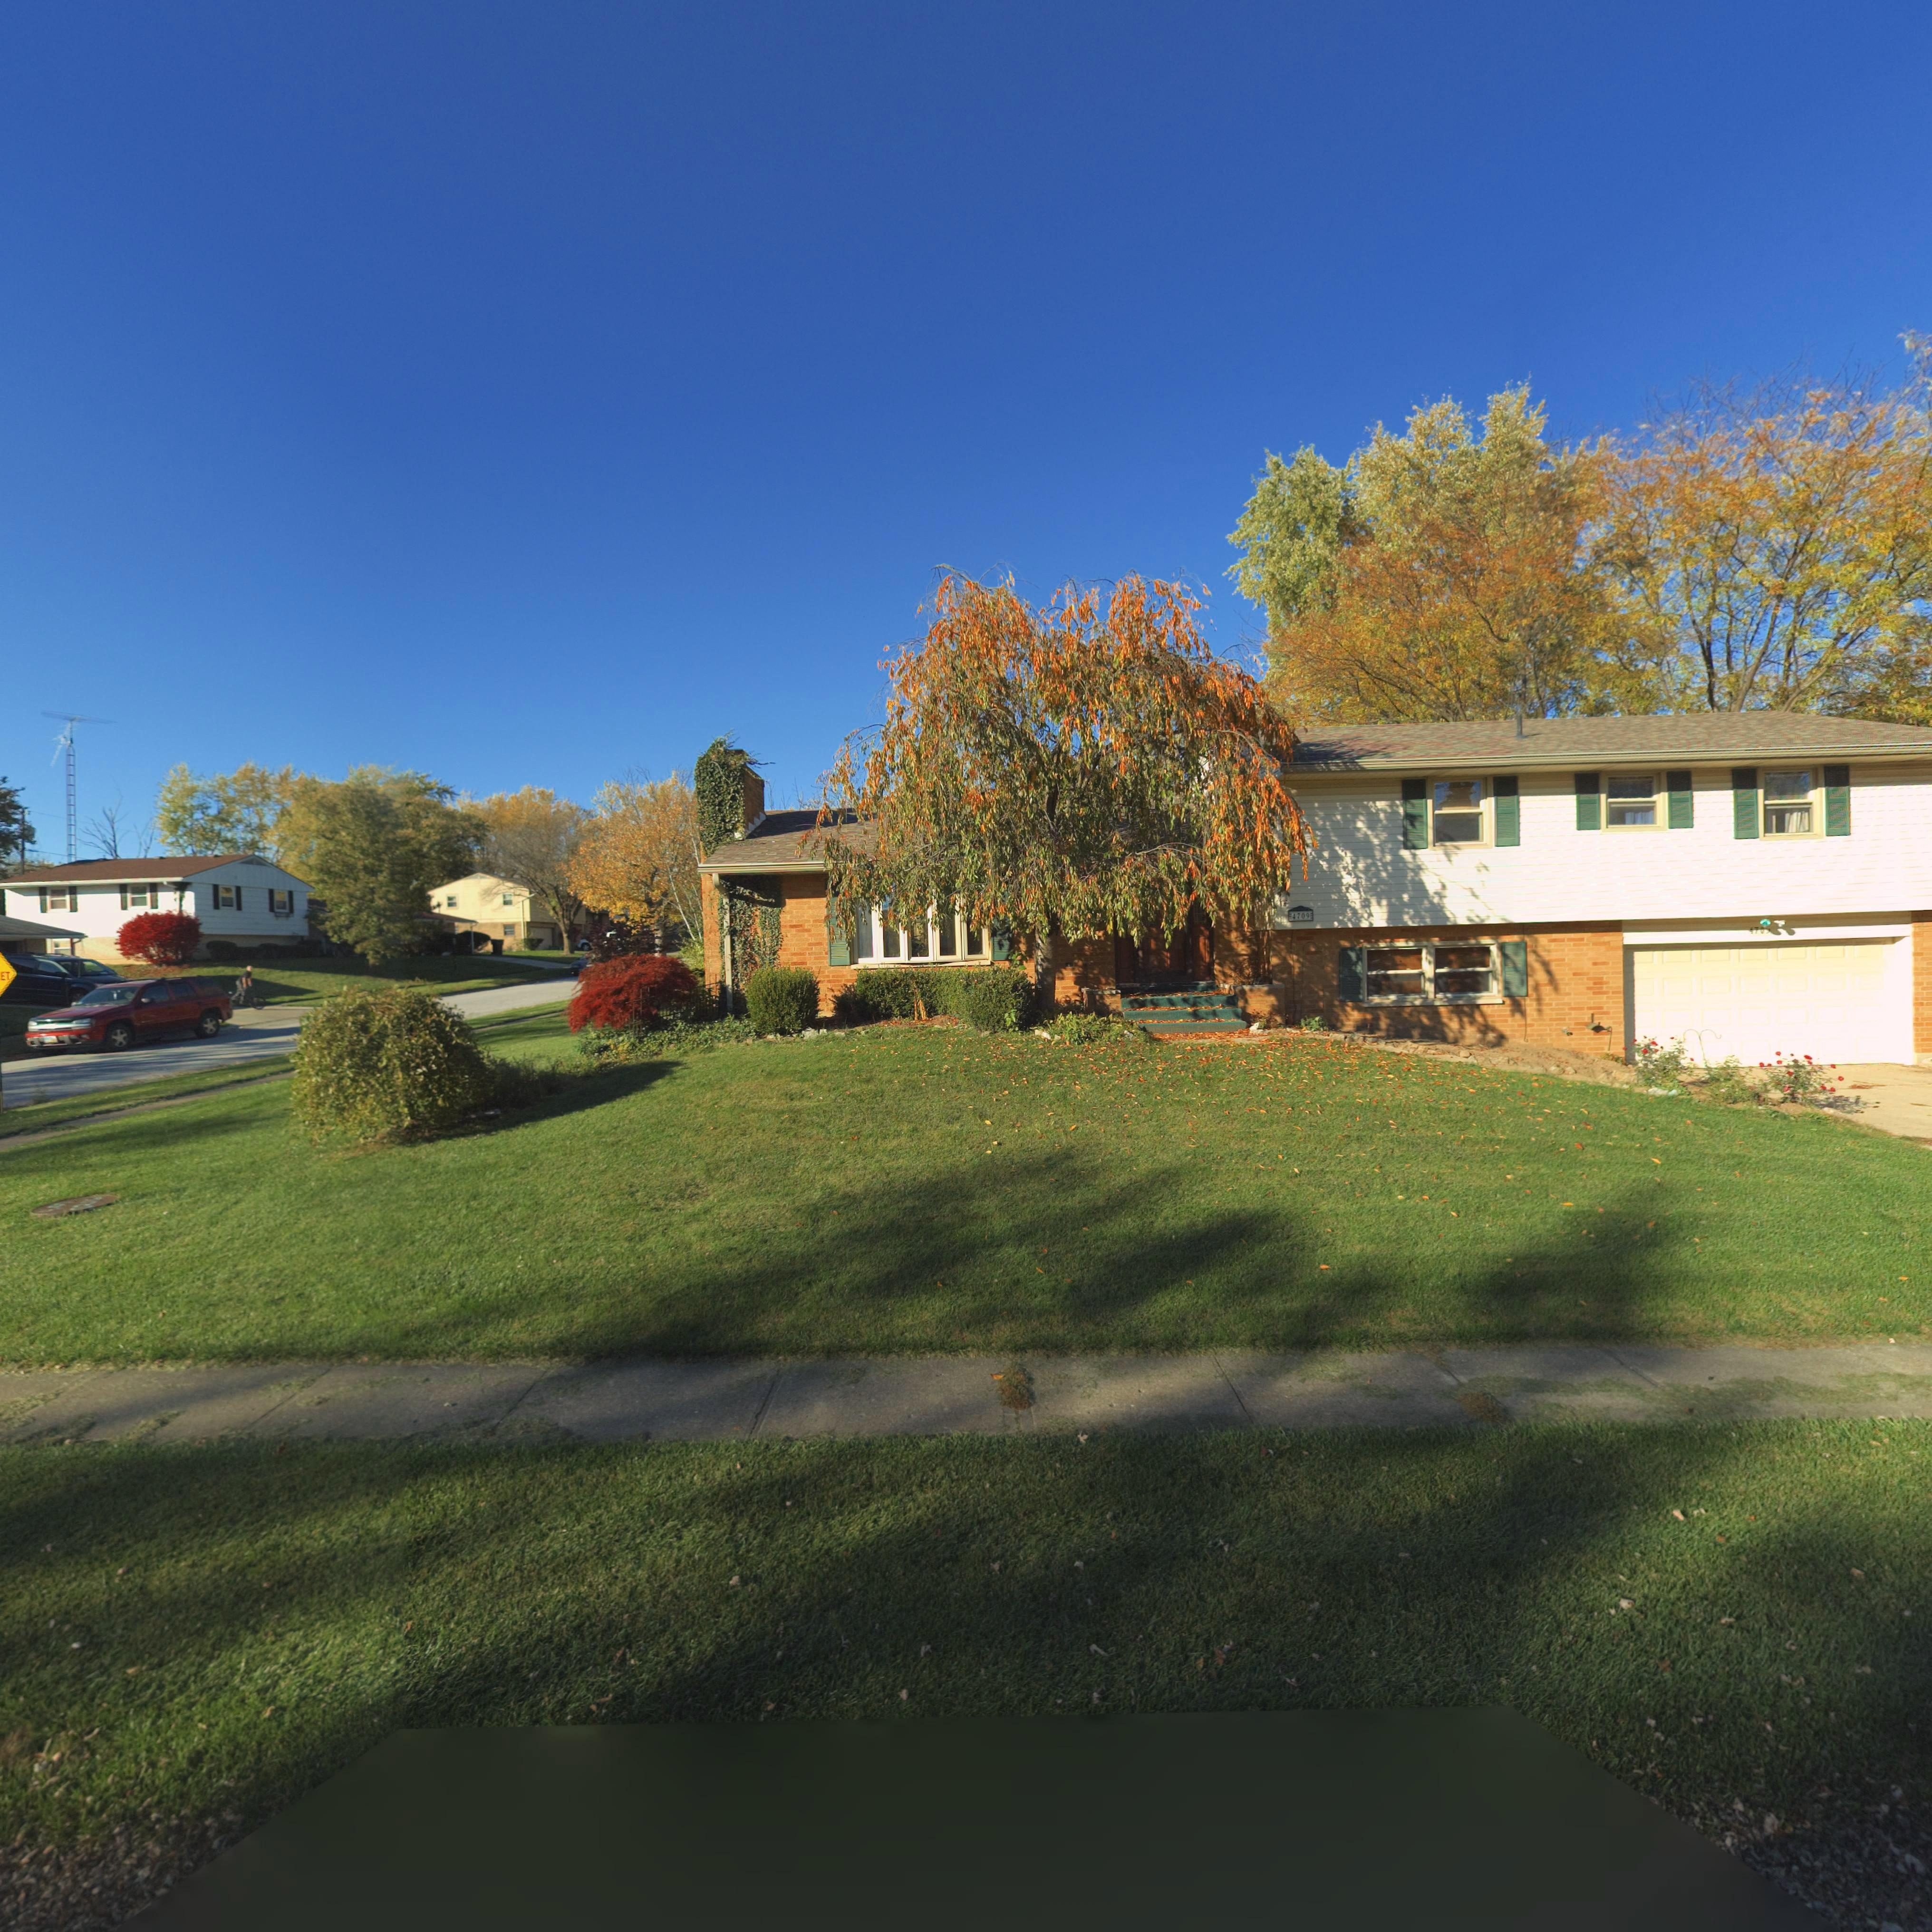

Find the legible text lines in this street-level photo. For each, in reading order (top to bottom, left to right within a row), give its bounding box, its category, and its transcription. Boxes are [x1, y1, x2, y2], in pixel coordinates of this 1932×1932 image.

[1748, 926, 1771, 935] StreetNumber: 4709